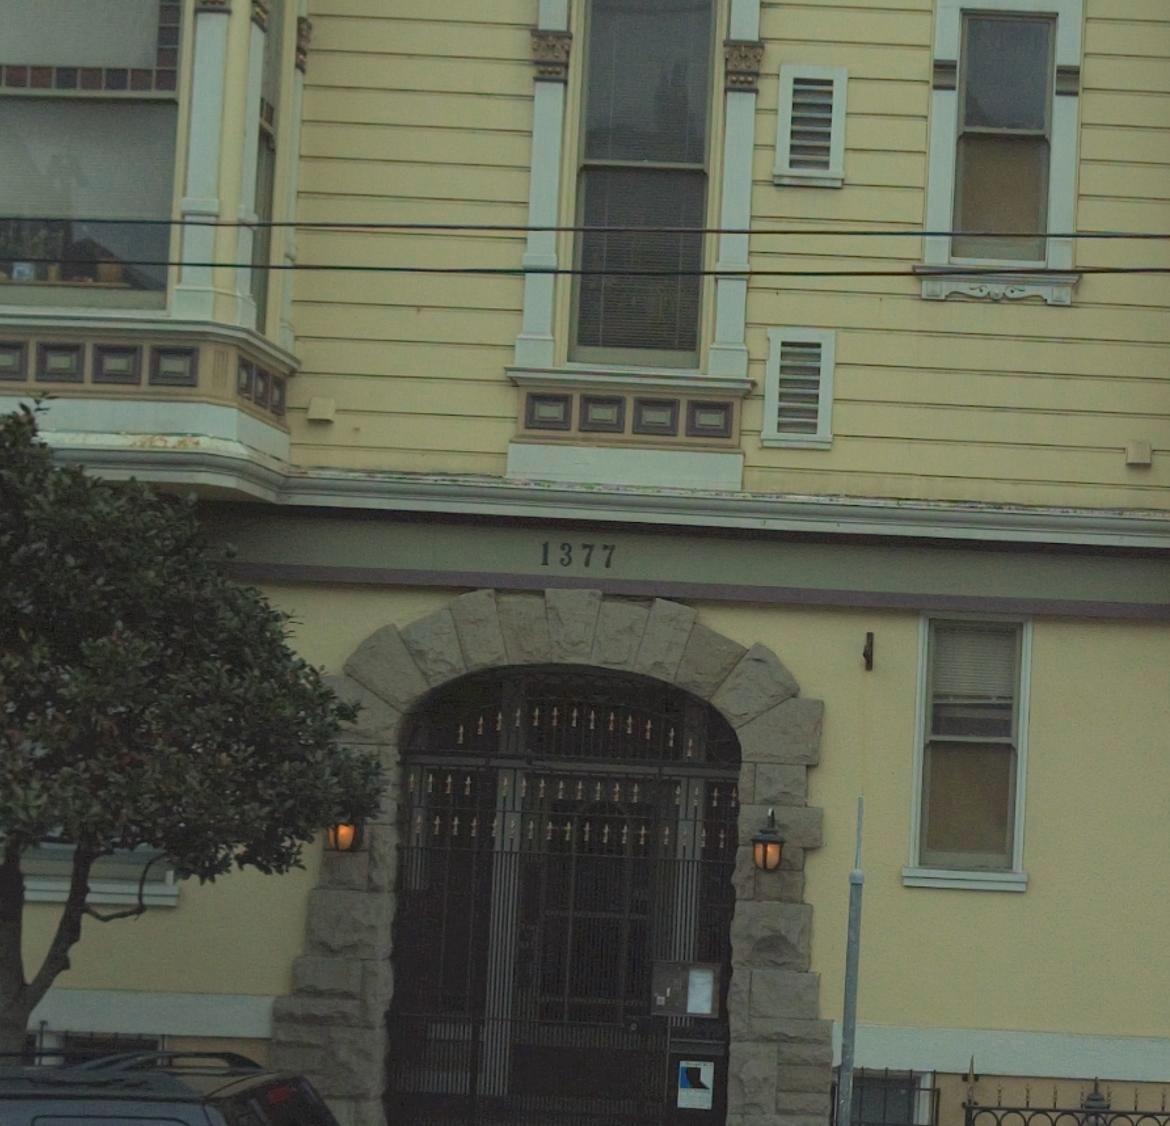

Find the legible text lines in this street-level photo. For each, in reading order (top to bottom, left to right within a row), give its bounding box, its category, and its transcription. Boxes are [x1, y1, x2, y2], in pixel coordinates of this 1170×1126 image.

[539, 540, 617, 570] StreetNumber: 1377